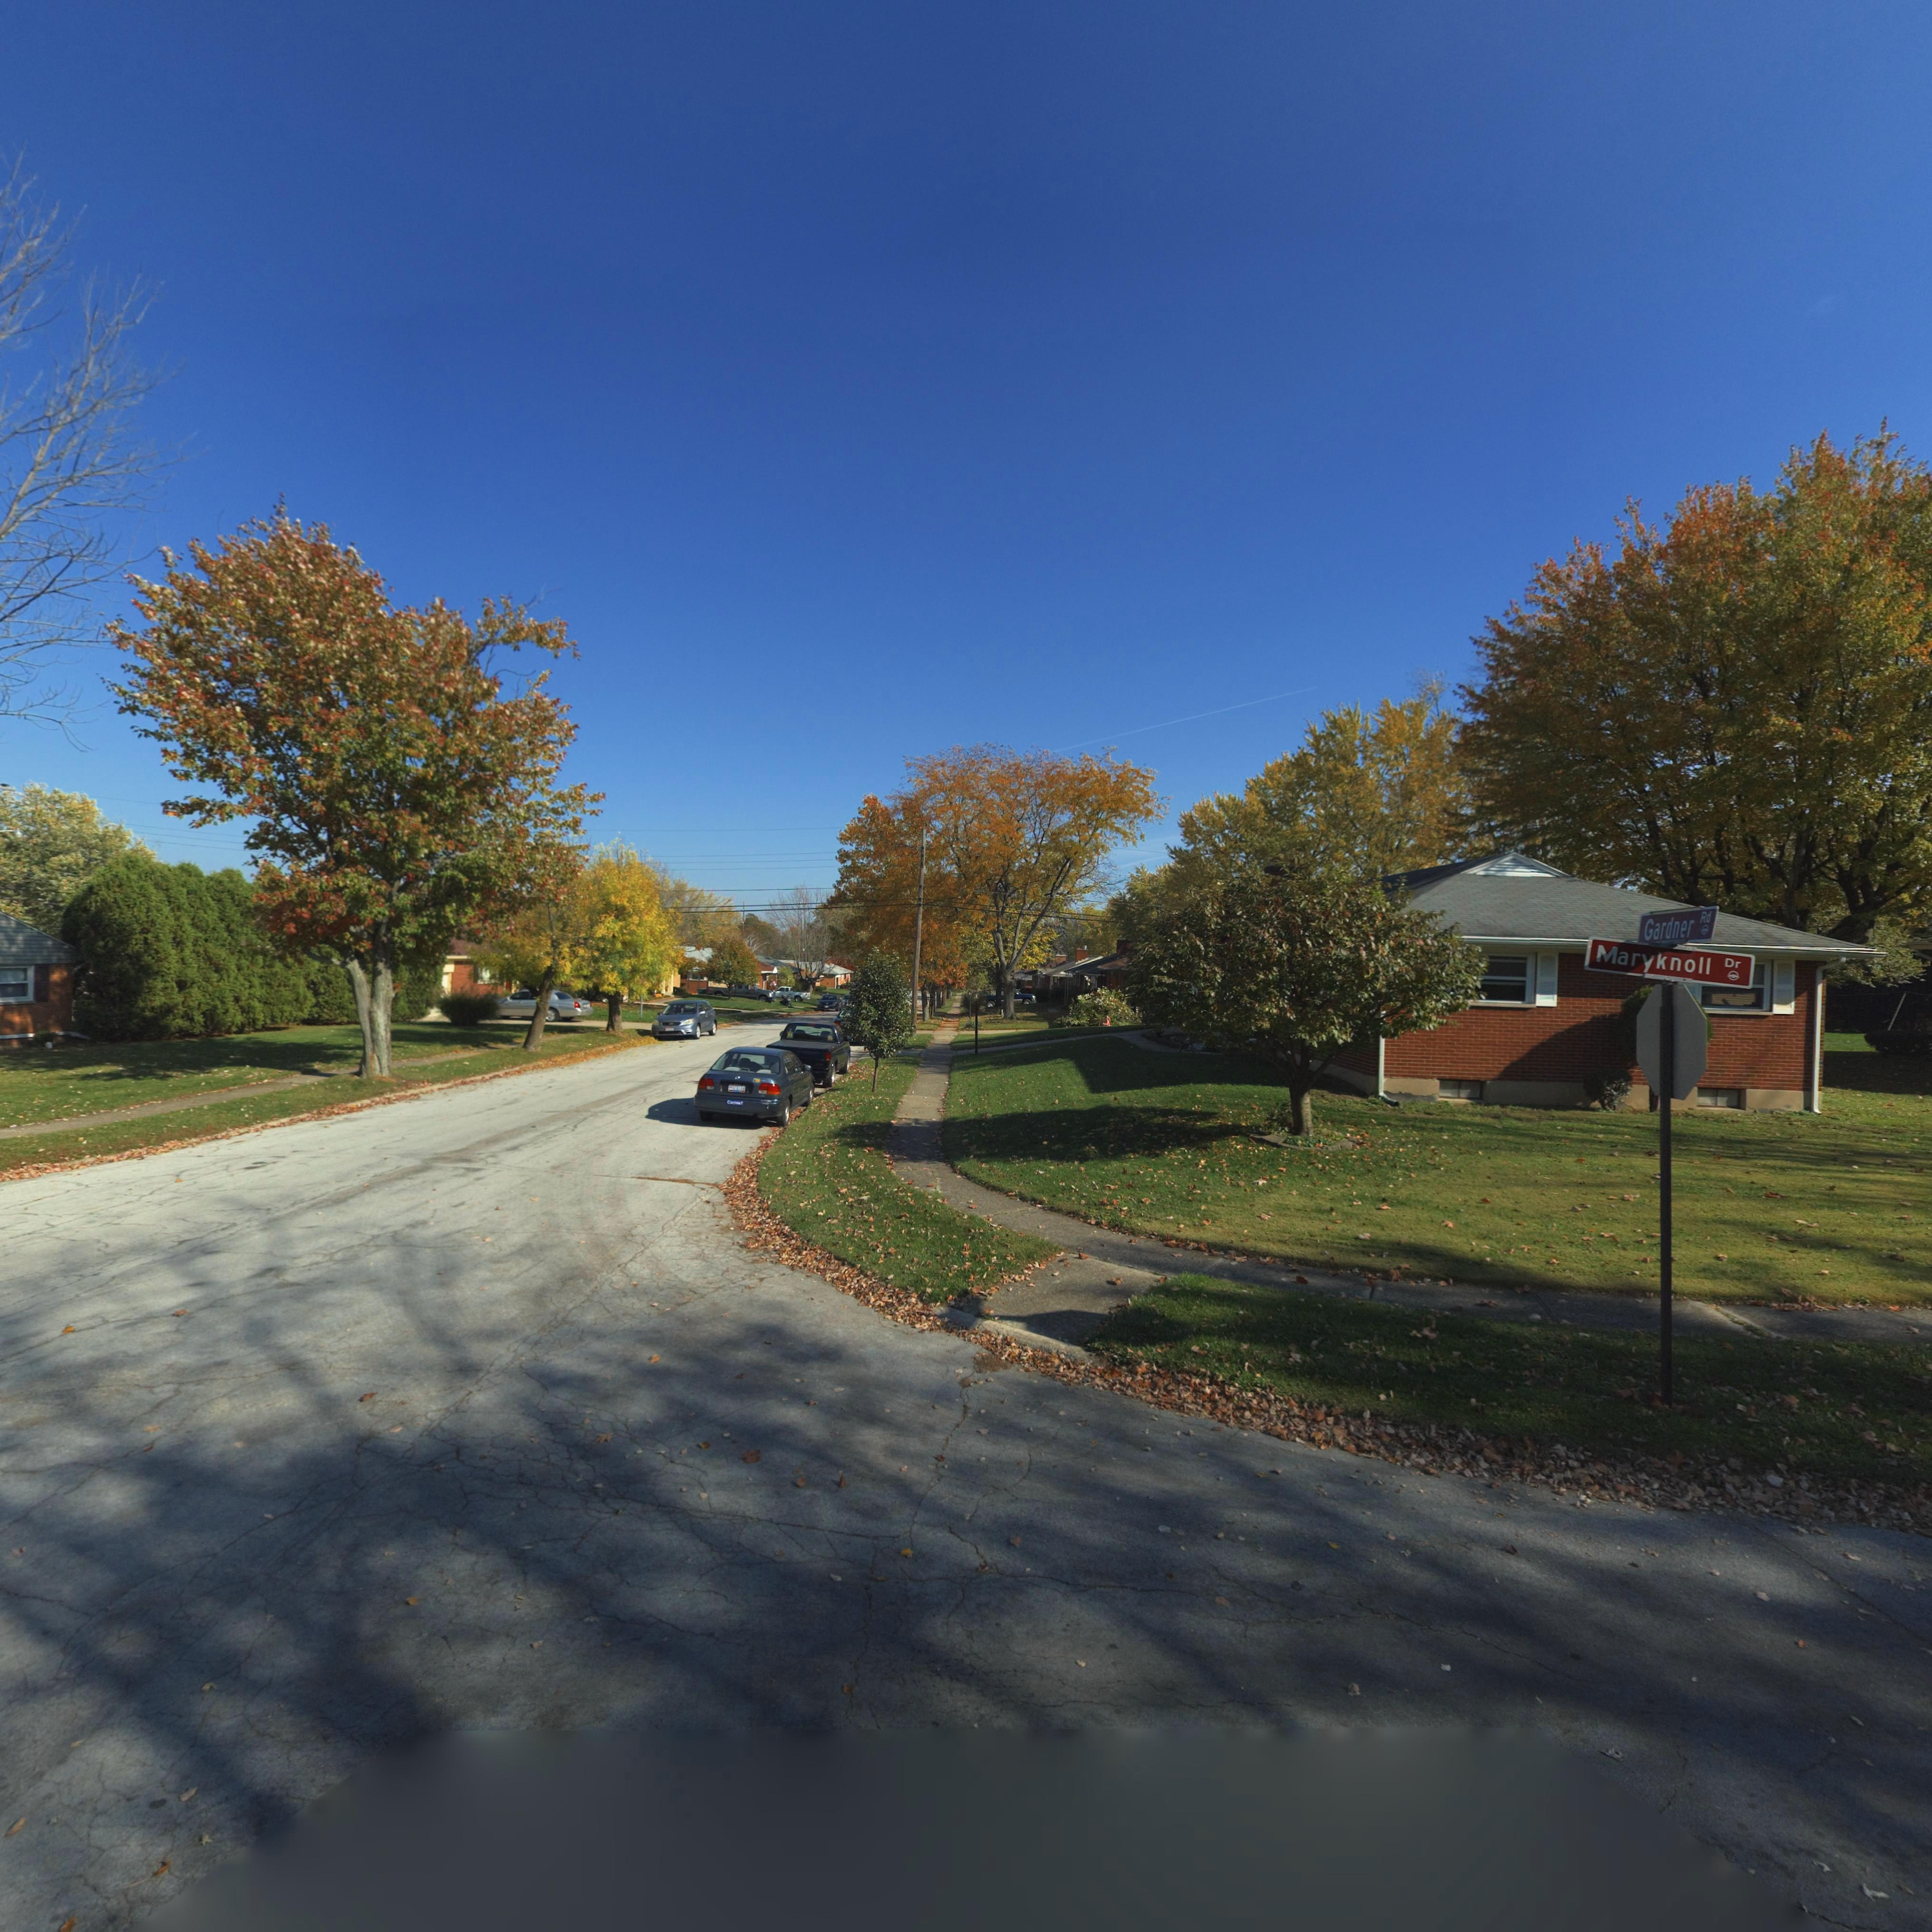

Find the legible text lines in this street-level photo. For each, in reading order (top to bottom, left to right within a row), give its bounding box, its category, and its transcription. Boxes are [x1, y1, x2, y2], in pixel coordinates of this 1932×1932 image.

[1643, 910, 1713, 941] StreetName: Gardner Rd
[1595, 944, 1743, 977] StreetName: Maryknoll Dr